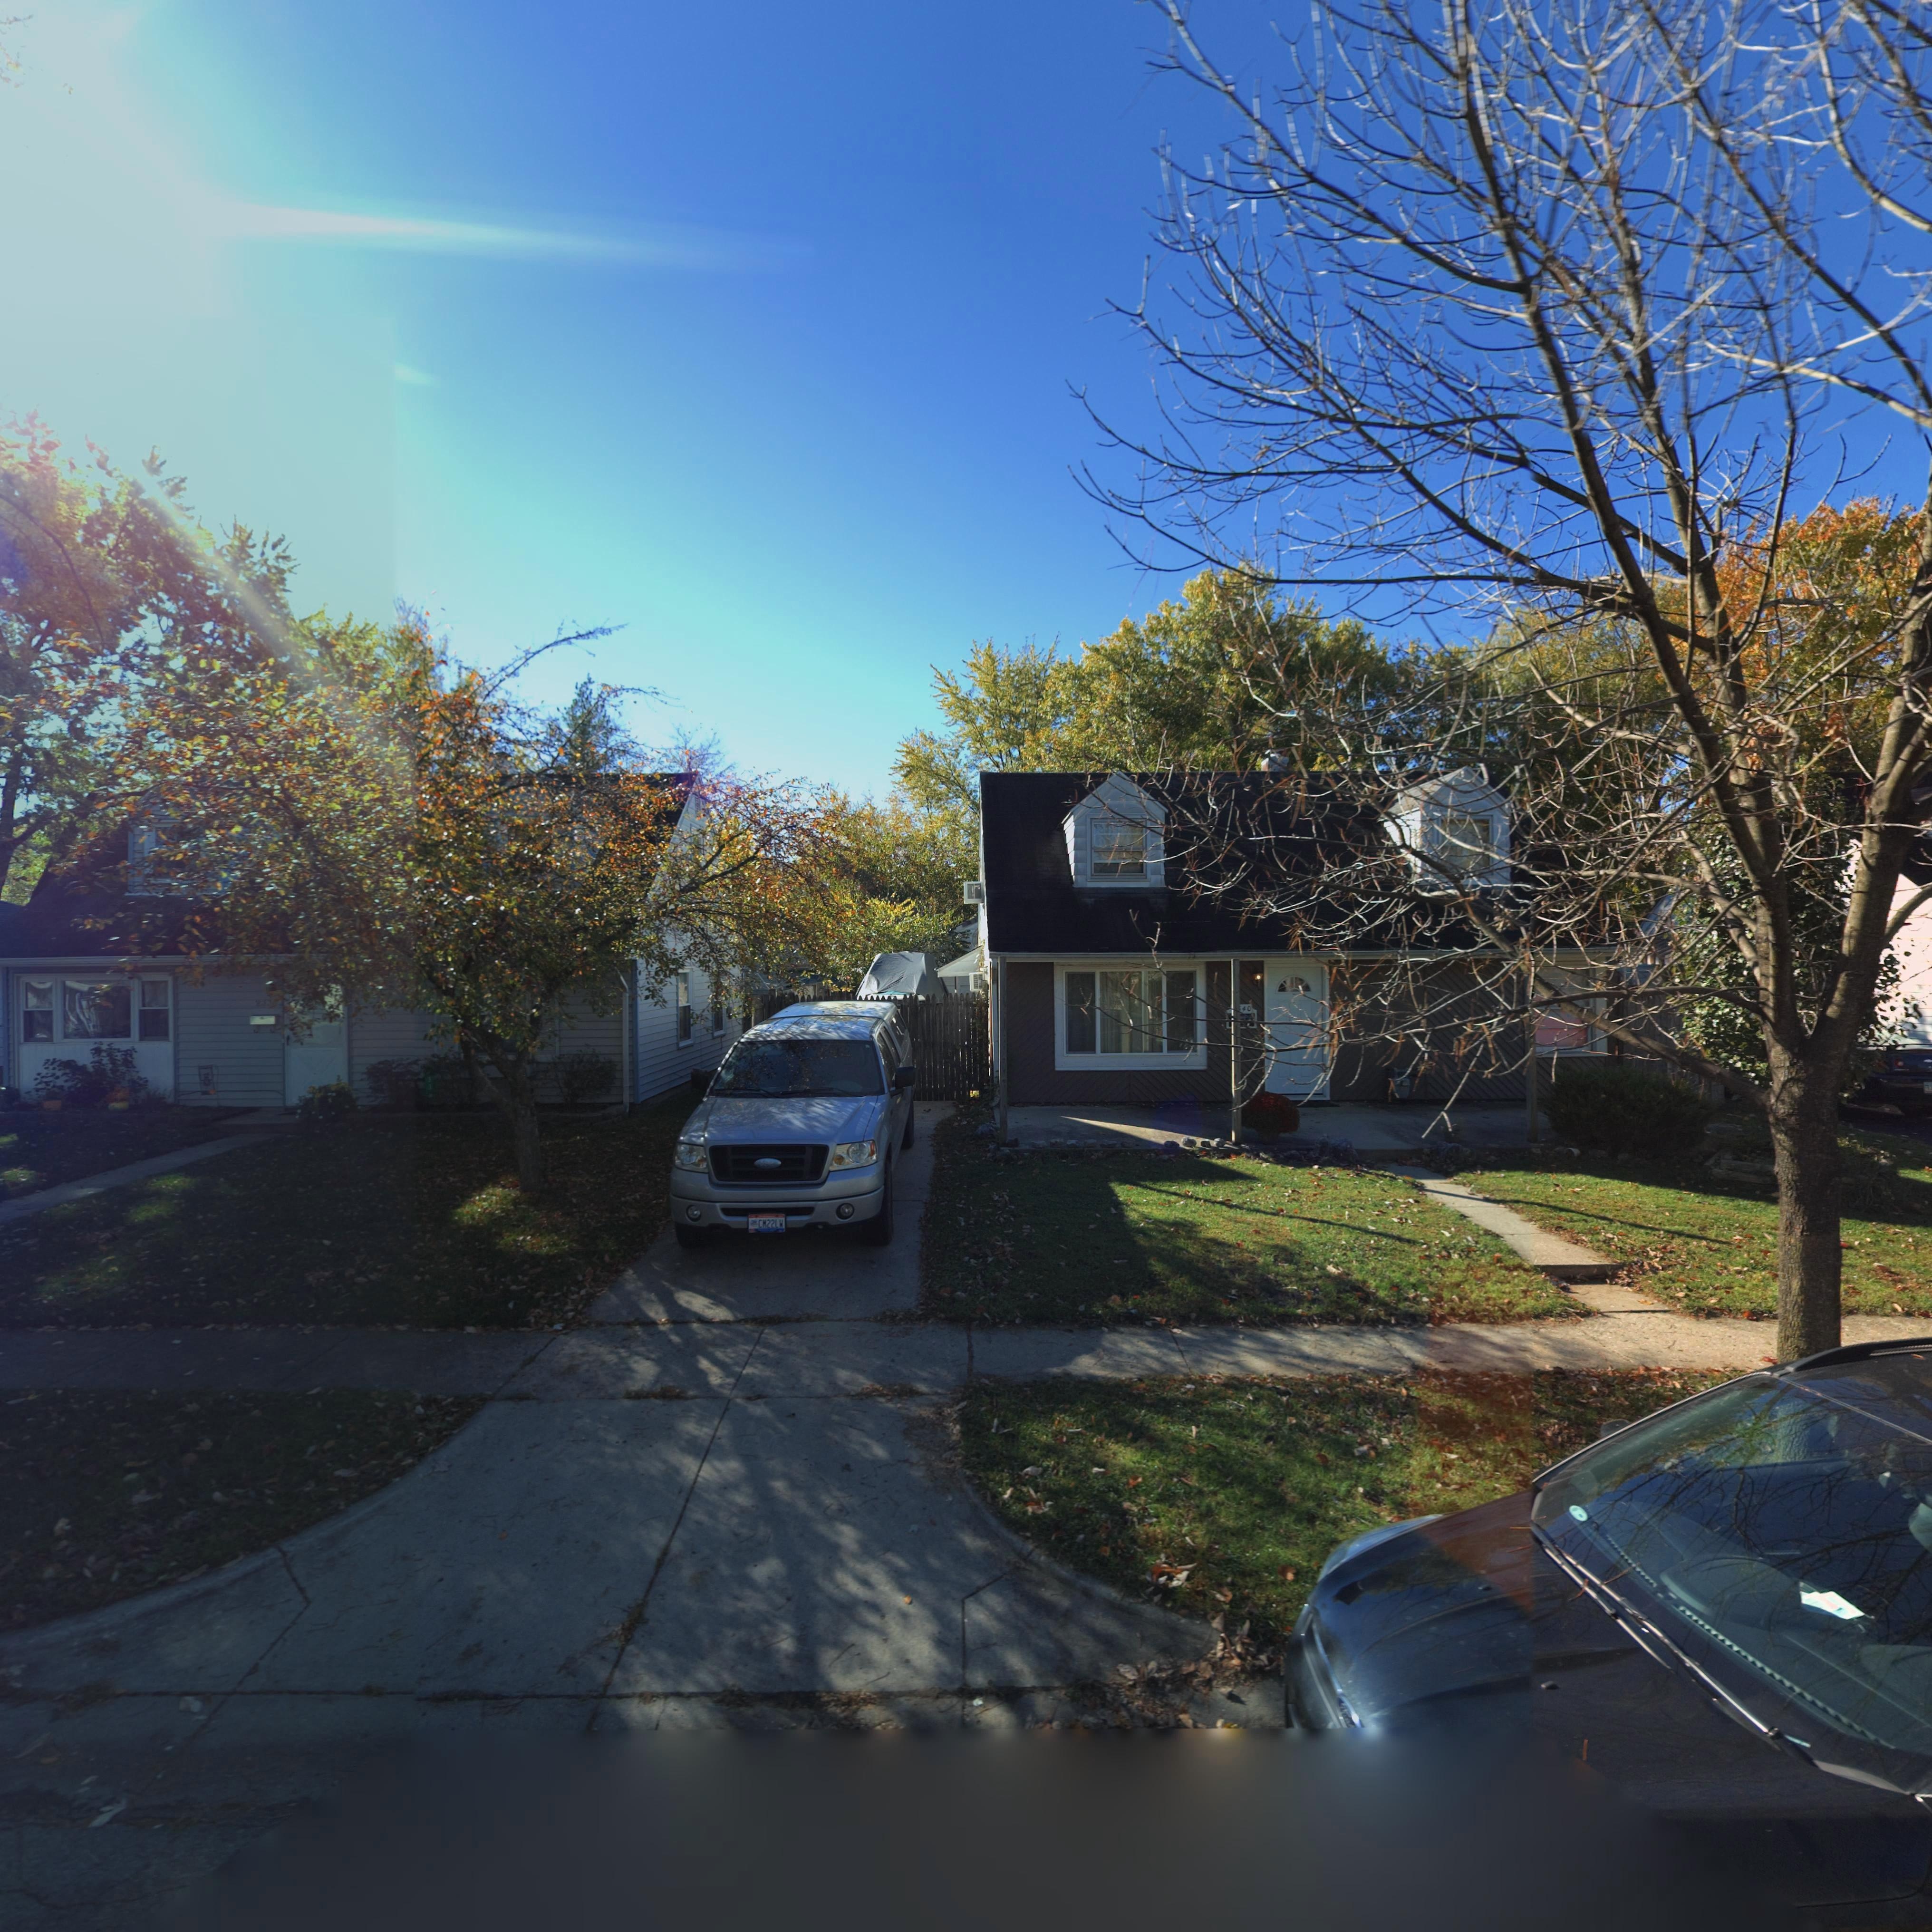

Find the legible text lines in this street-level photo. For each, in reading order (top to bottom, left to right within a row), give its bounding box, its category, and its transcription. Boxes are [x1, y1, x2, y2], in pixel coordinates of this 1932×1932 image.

[1241, 1005, 1252, 1013] StreetNumber: 40